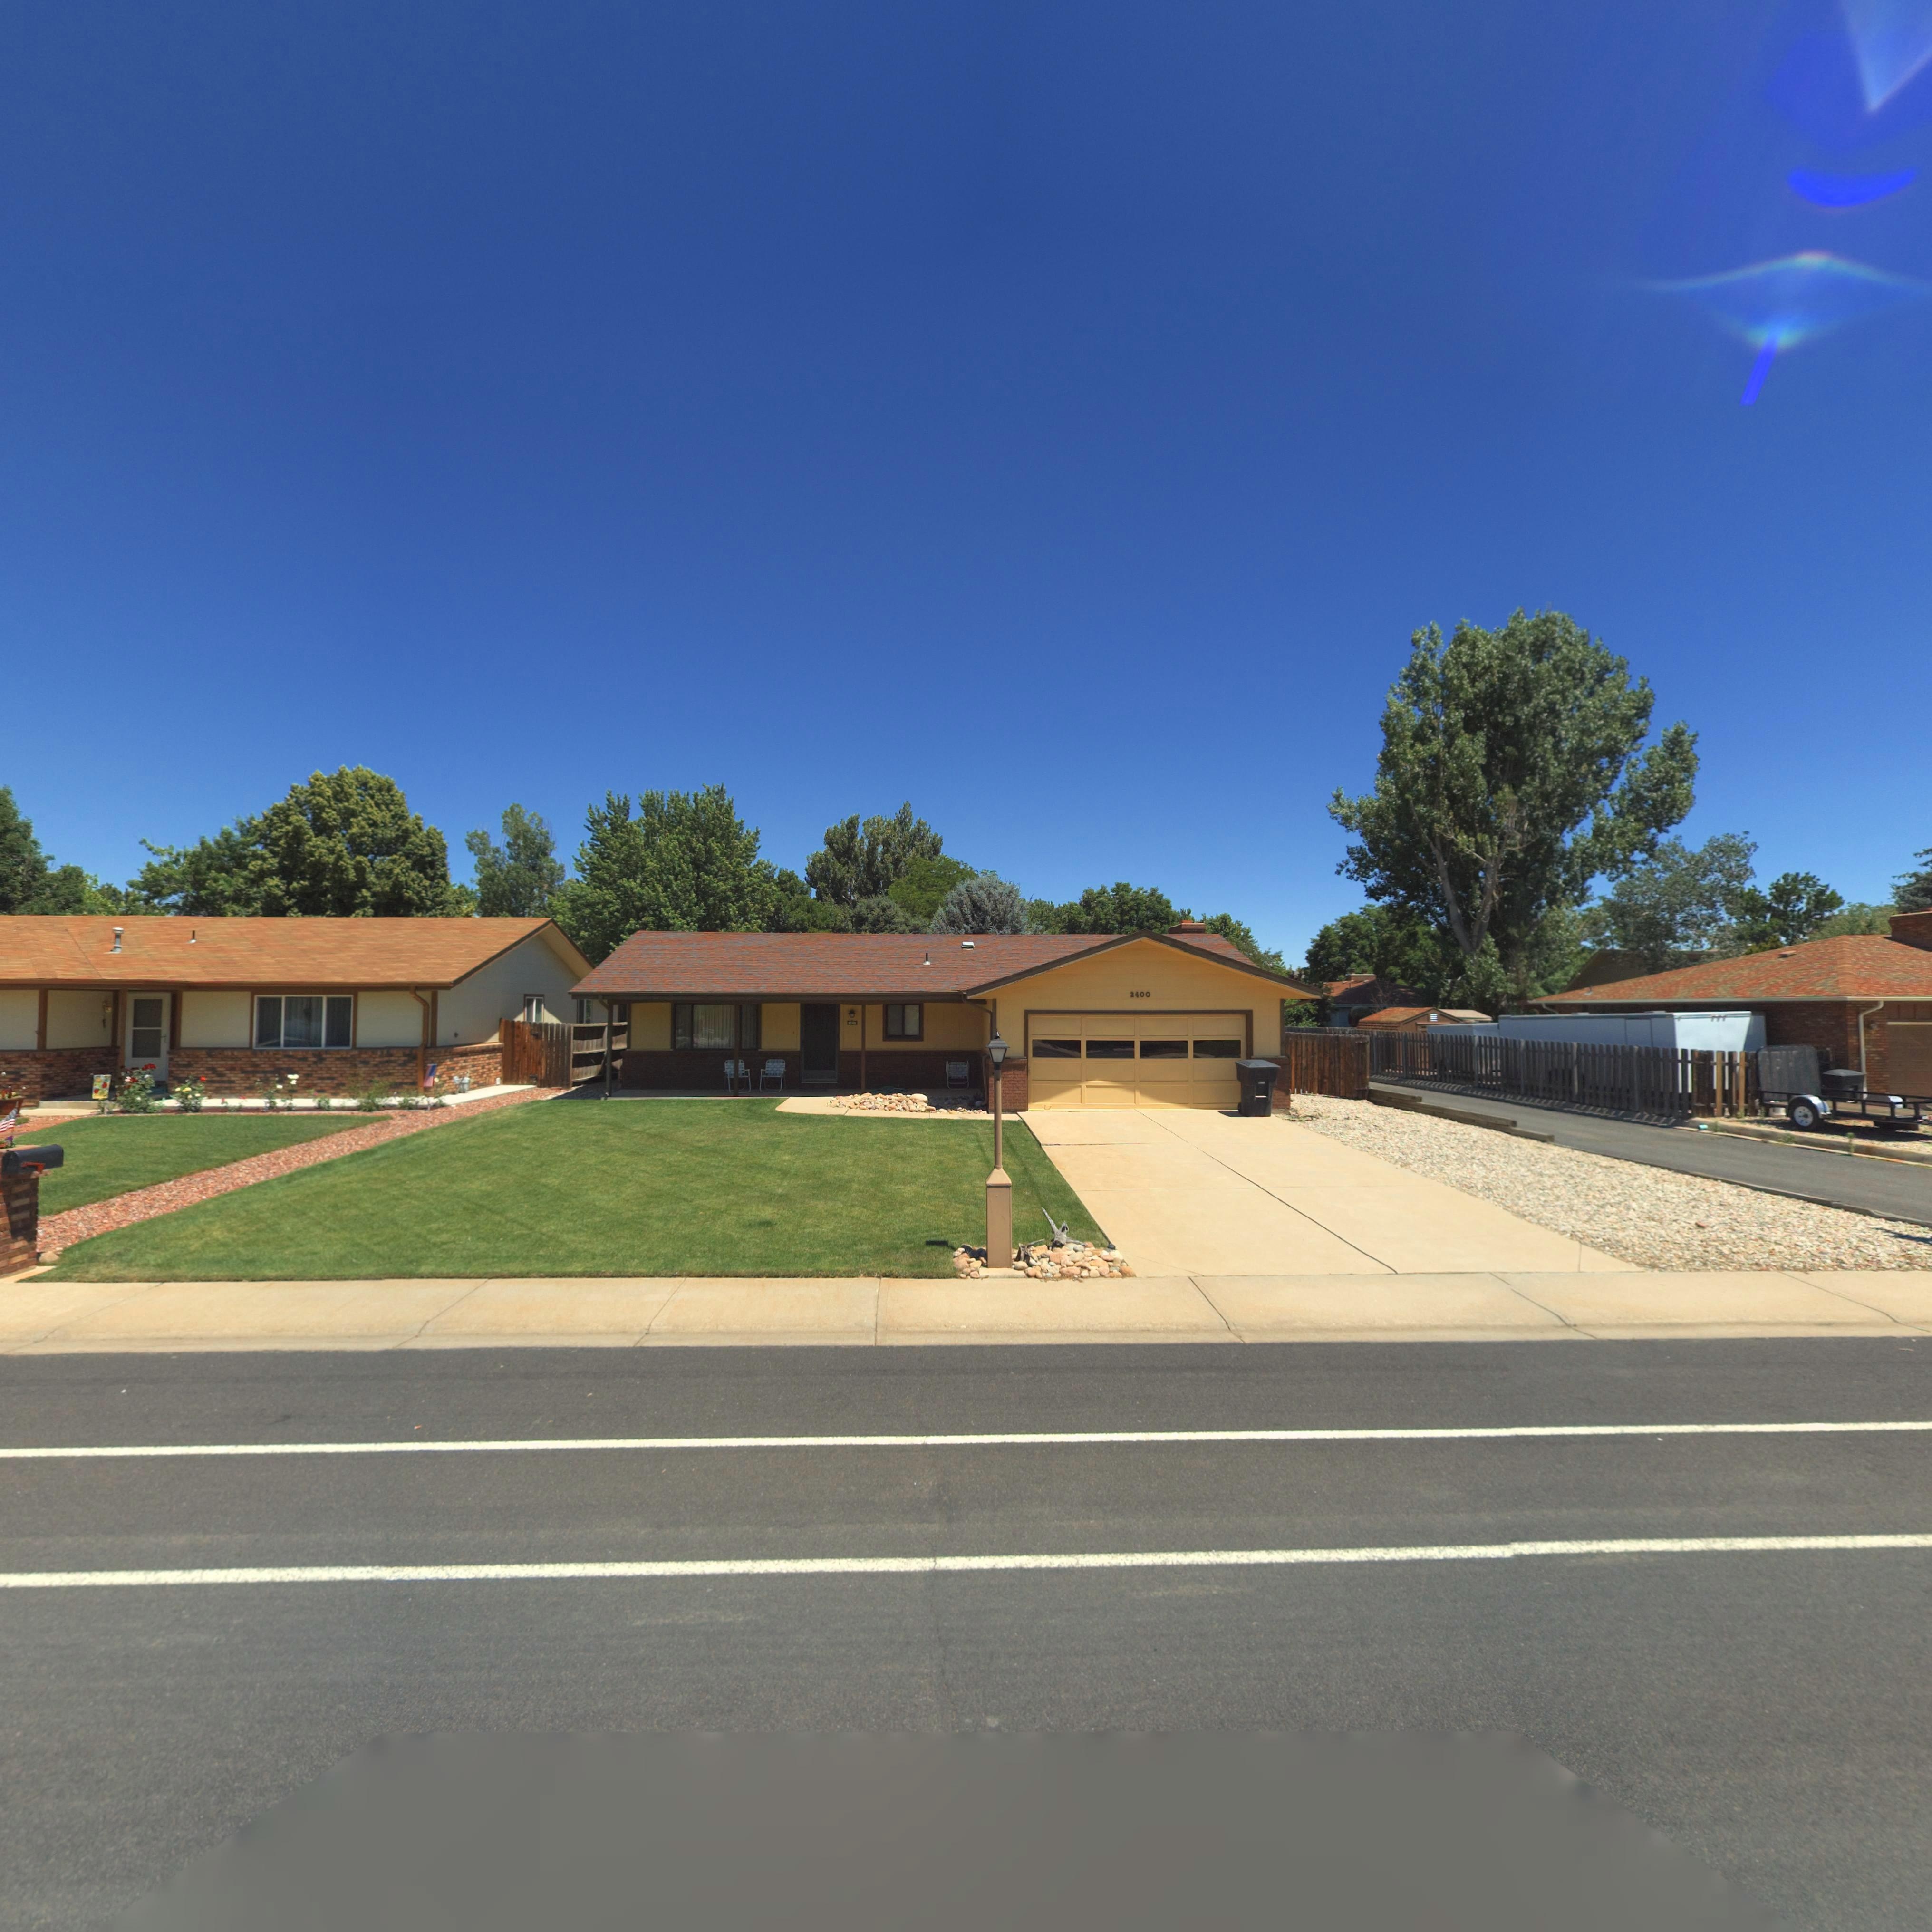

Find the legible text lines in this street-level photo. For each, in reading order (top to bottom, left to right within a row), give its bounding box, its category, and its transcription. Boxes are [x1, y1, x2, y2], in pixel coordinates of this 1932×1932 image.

[1130, 991, 1150, 997] StreetNumber: 2400